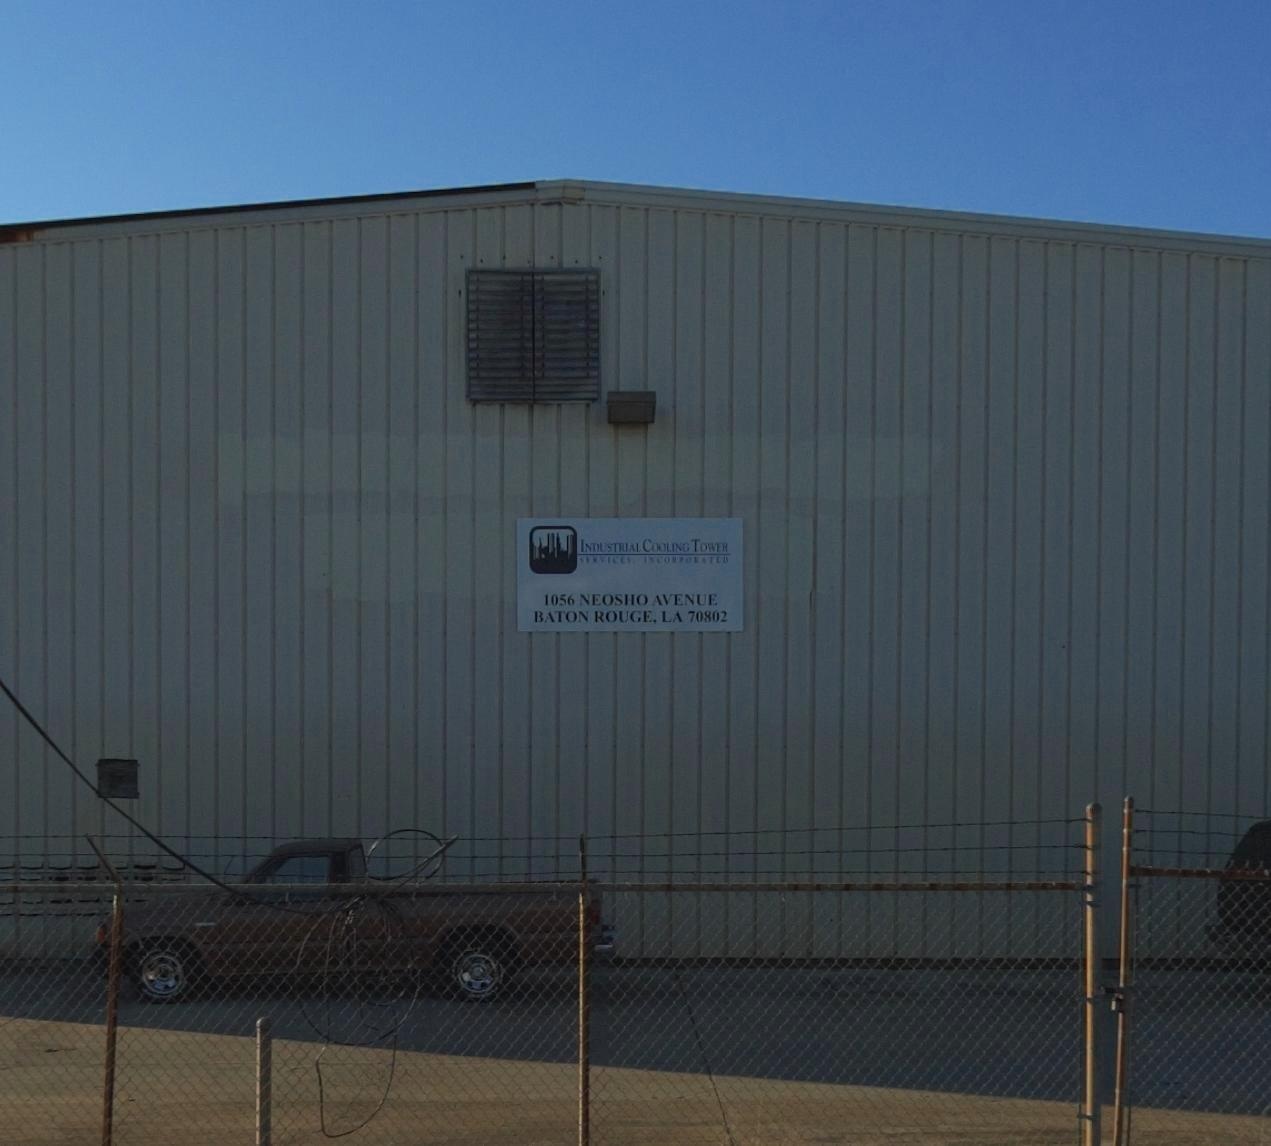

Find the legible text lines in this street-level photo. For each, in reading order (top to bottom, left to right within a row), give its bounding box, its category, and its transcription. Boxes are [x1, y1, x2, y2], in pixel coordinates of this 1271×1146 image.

[579, 537, 730, 555] BusinessName: Industrial Cooling Tower
[597, 554, 634, 566] None: VICE
[654, 554, 731, 567] None: CORPORATED
[541, 592, 578, 608] StreetNumber: 1056
[578, 591, 720, 608] StreetName: NEOSHO AVENUE
[532, 607, 730, 625] None: BATON ROUGE, LA 70802